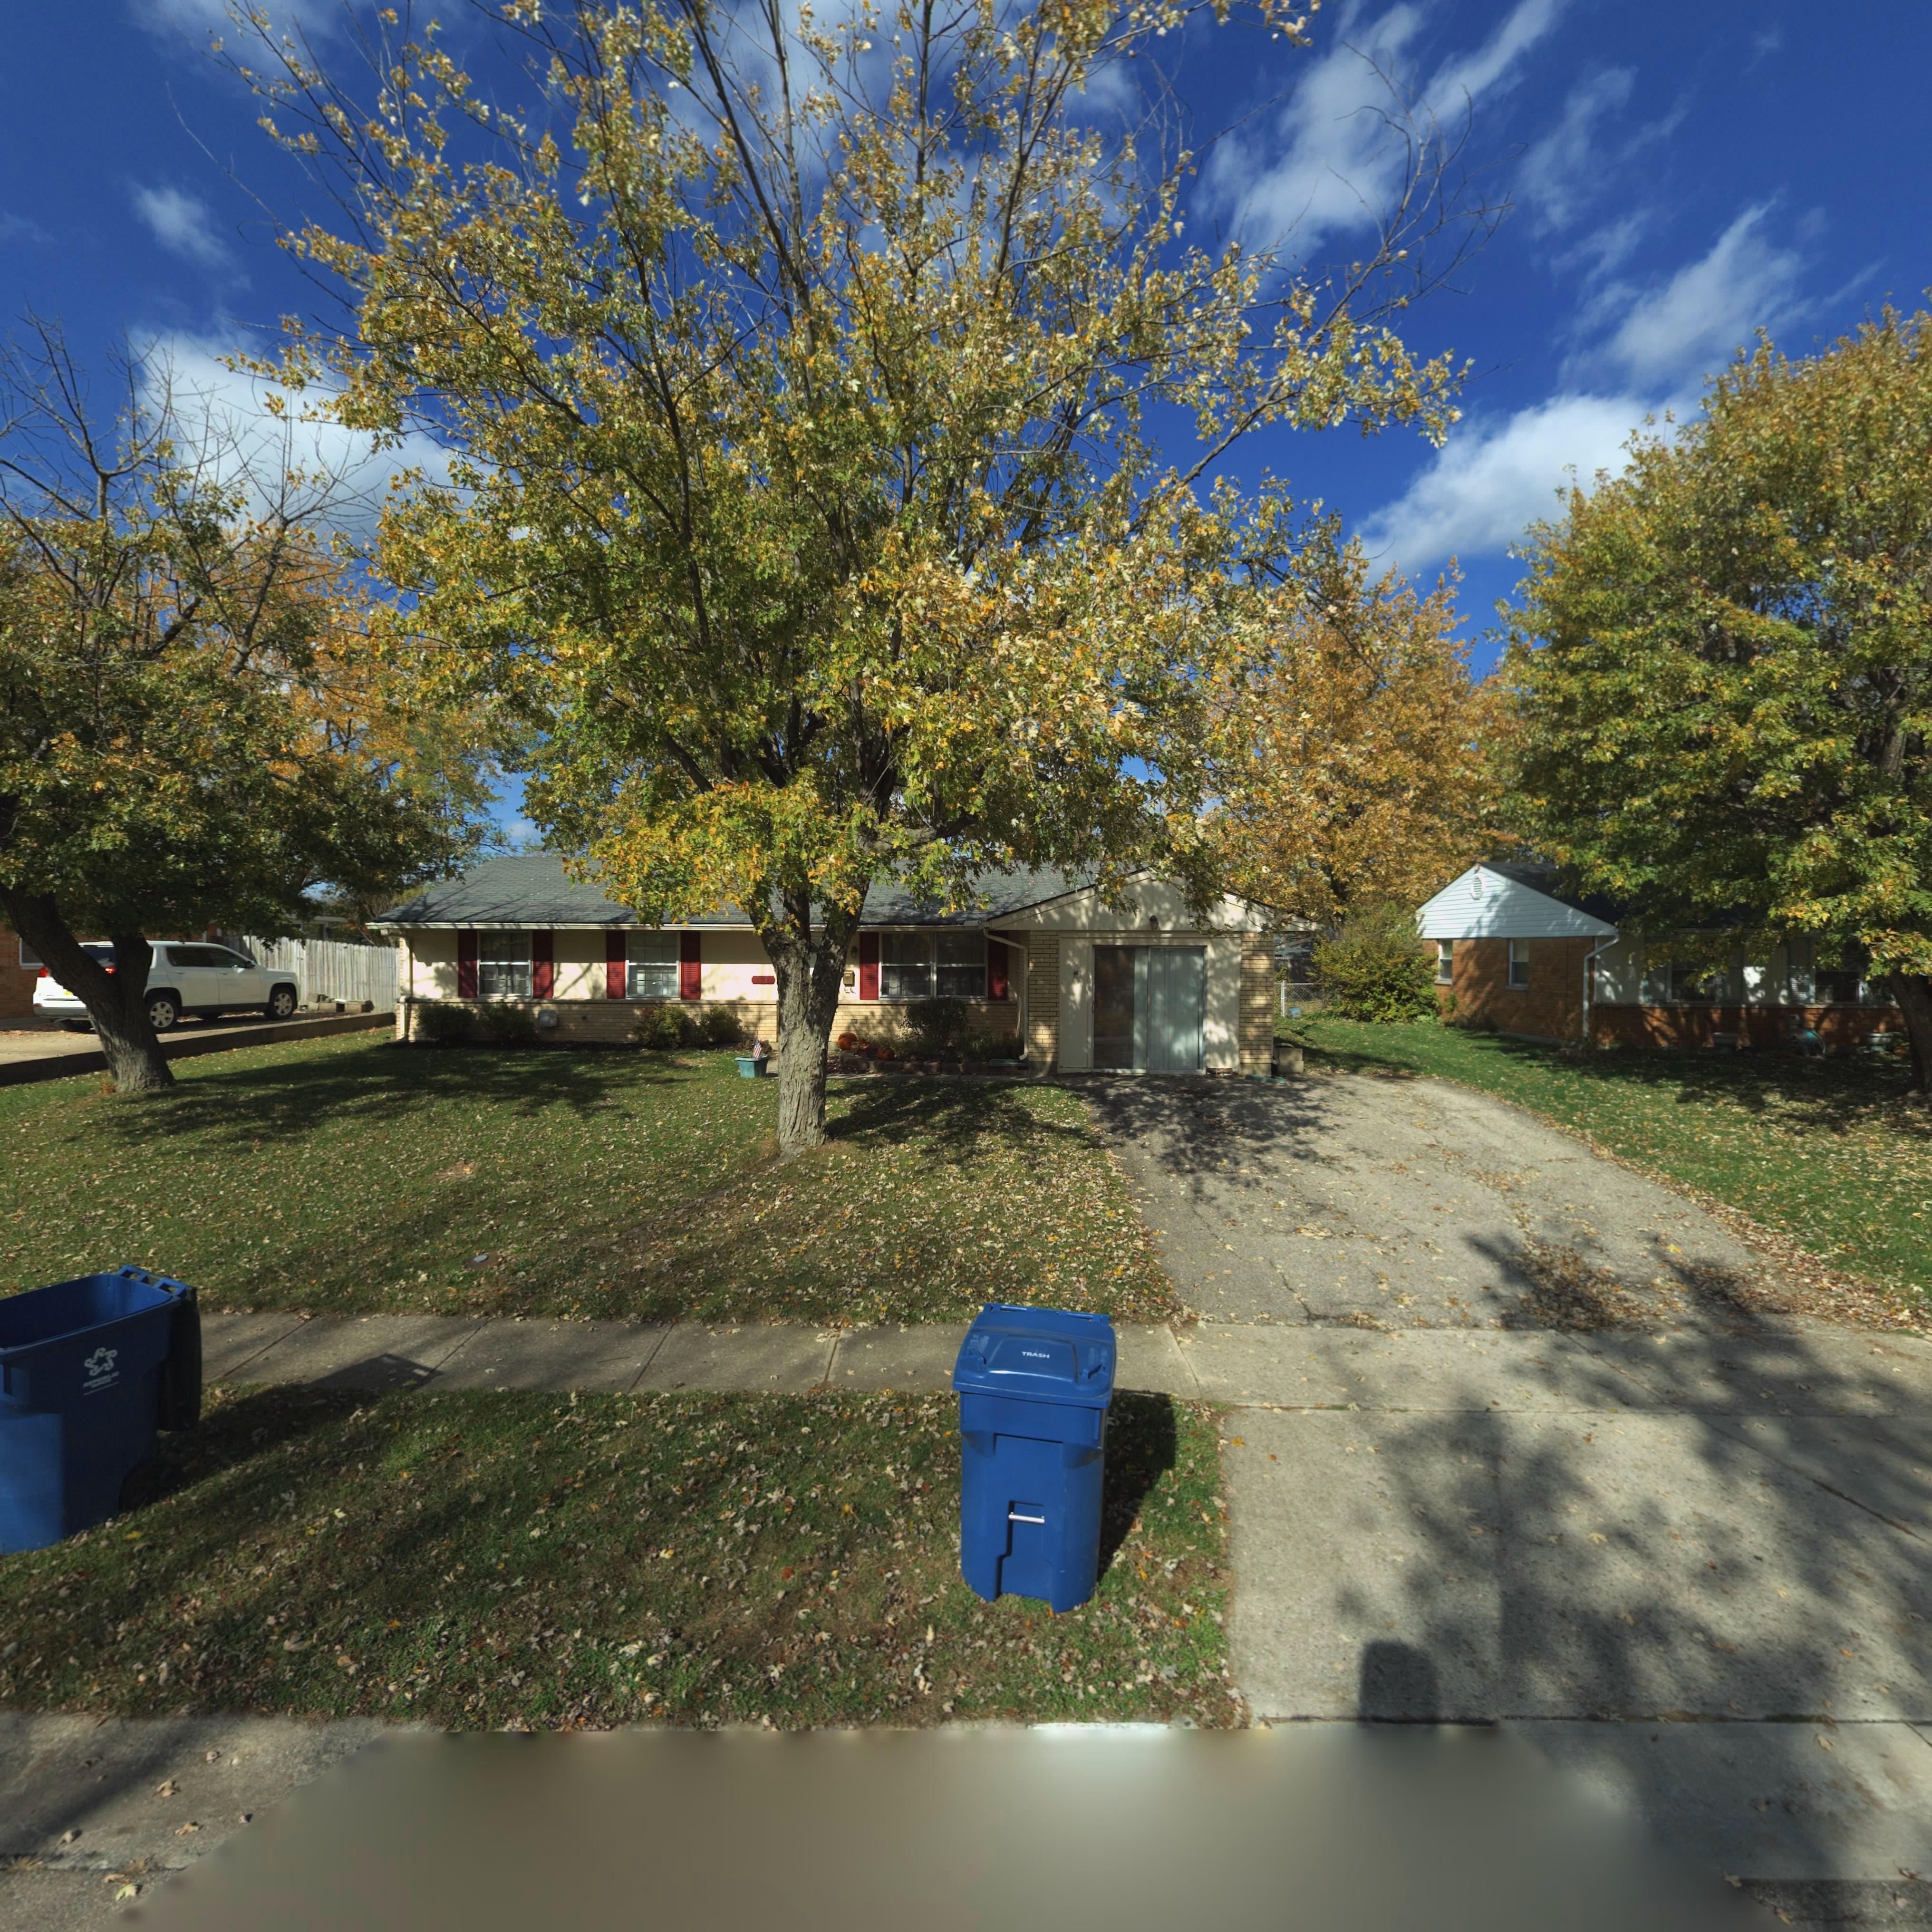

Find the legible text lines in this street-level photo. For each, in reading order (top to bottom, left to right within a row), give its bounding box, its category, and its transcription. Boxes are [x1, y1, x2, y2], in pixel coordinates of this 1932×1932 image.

[754, 976, 771, 983] StreetNumber: 7631